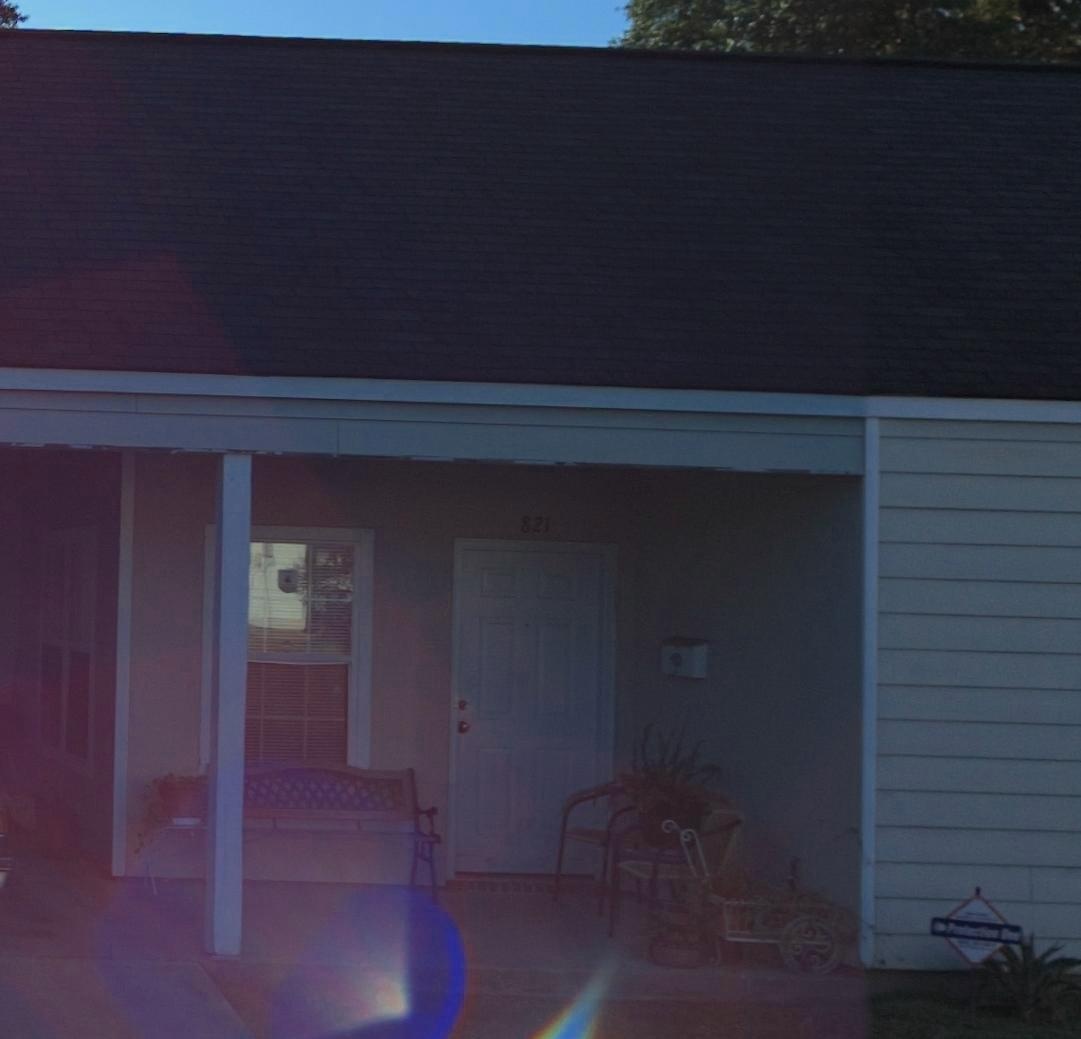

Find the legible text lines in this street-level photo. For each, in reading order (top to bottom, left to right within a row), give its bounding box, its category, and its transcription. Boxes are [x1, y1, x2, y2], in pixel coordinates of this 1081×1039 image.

[519, 513, 553, 536] StreetNumber: 821